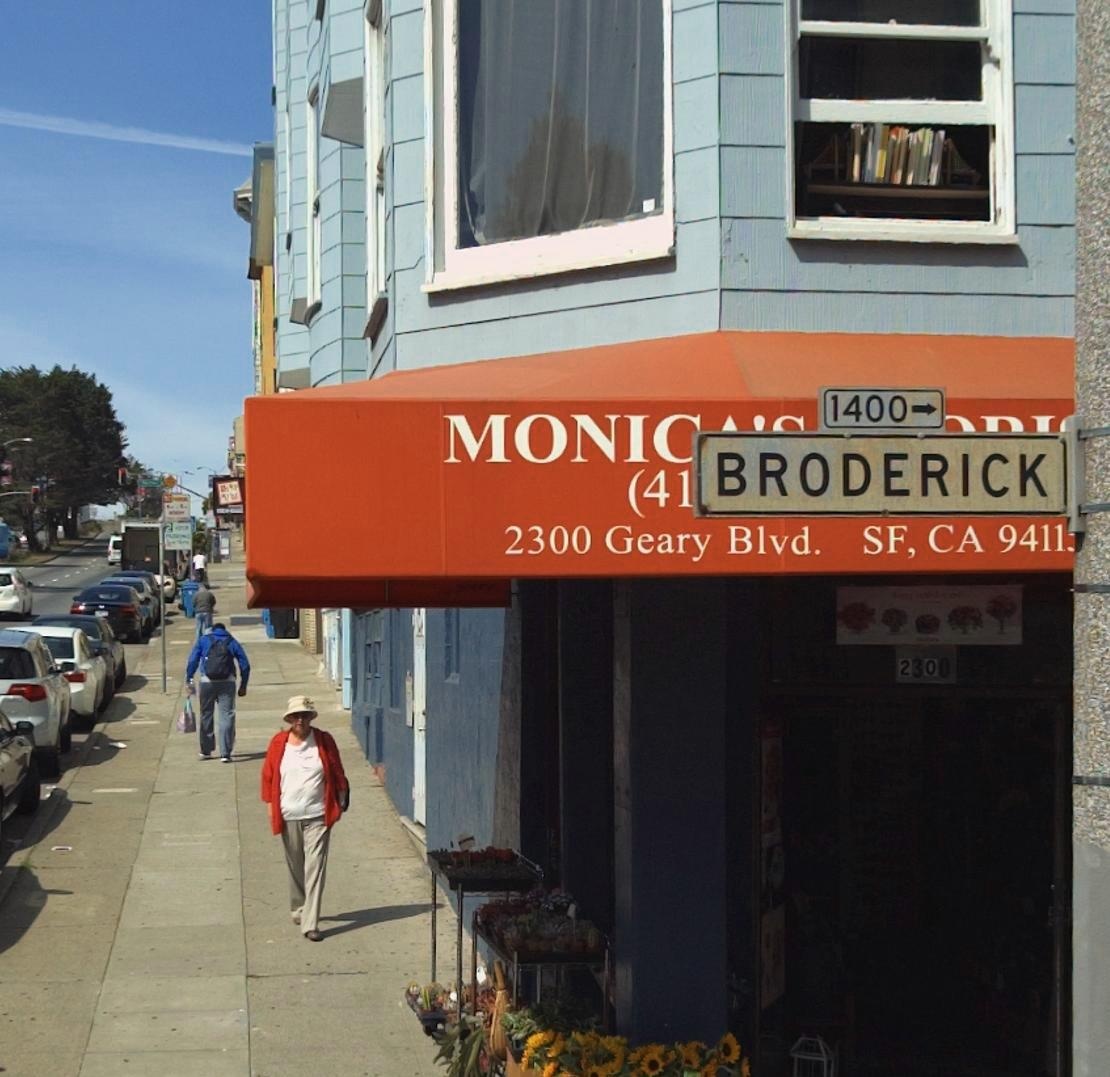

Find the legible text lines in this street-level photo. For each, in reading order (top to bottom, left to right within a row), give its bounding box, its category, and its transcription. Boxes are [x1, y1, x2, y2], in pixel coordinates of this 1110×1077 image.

[831, 392, 939, 422] None: 1400->
[440, 412, 705, 465] BusinessName: MONIC
[621, 464, 693, 522] None: (41
[714, 449, 1051, 499] None: BRODERICK
[502, 523, 592, 559] StreetNumber: 2300
[602, 522, 824, 564] StreetName: Geary Blvd.
[861, 522, 1067, 561] None: SF, CA 9411
[898, 658, 950, 678] None: 2300